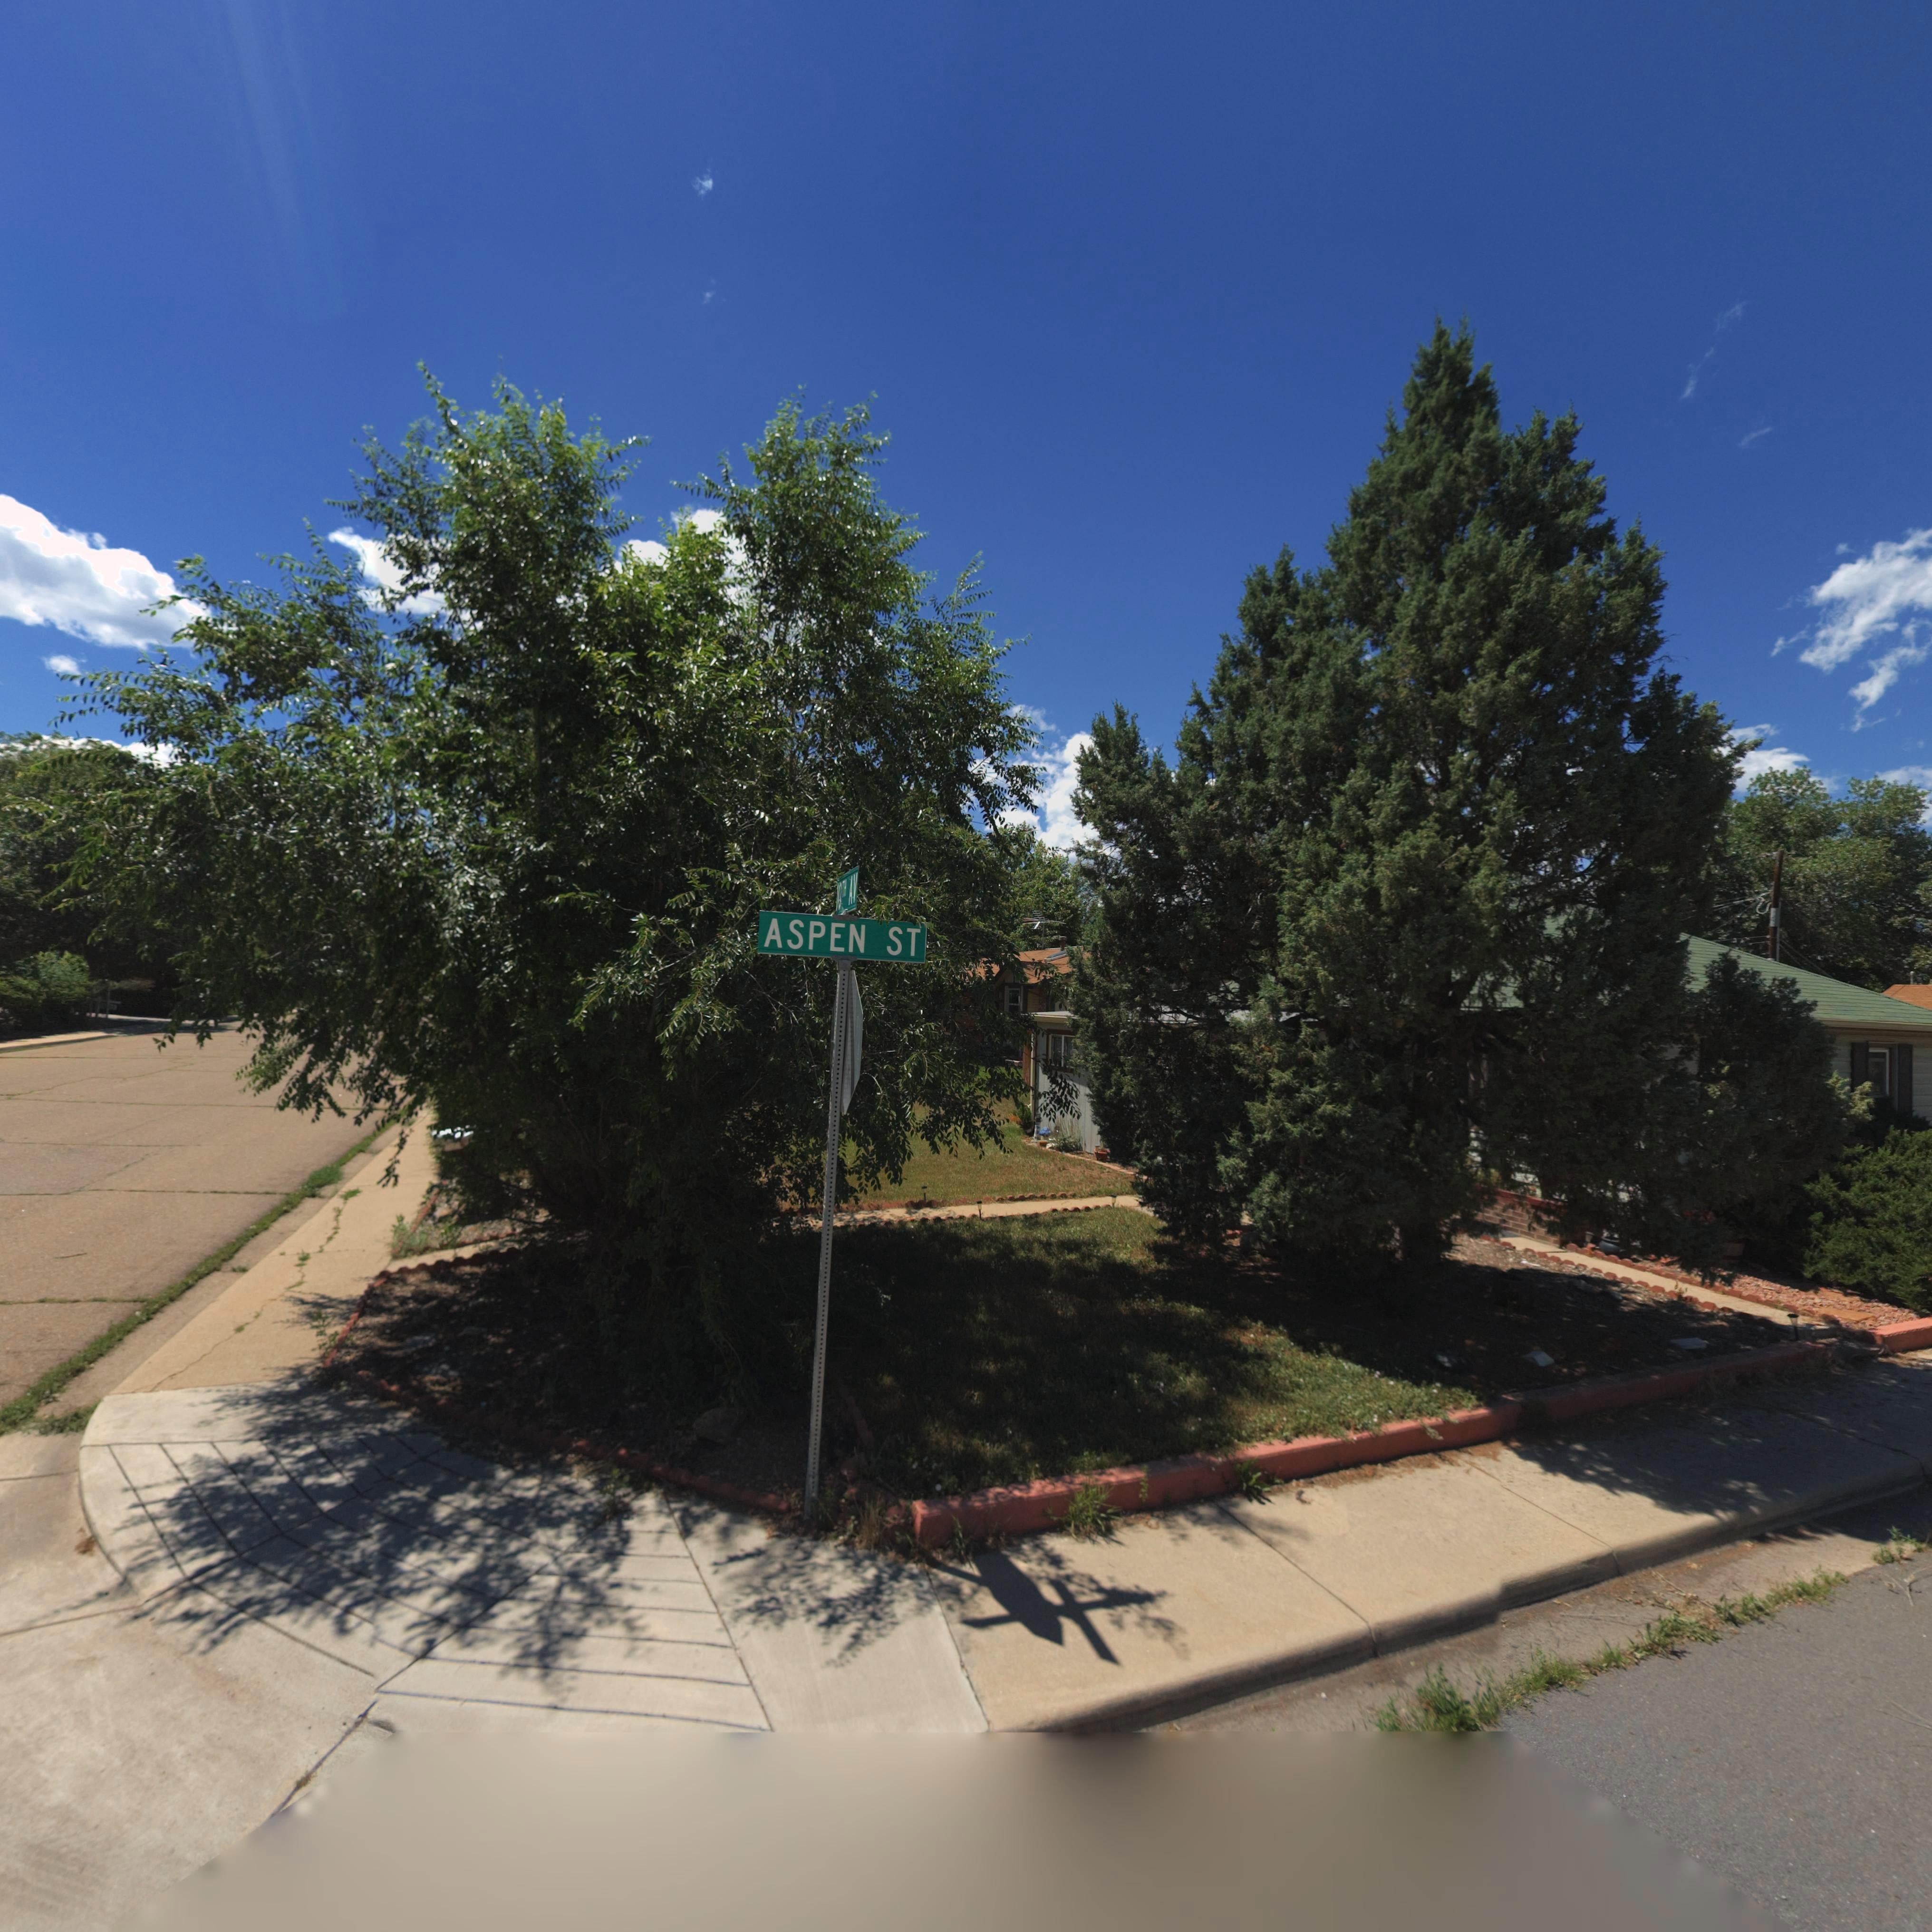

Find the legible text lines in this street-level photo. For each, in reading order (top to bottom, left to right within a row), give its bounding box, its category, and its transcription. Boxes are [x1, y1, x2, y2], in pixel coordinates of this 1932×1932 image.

[836, 871, 858, 911] StreetName: 10TH AV
[764, 918, 921, 956] StreetName: ASPEN ST